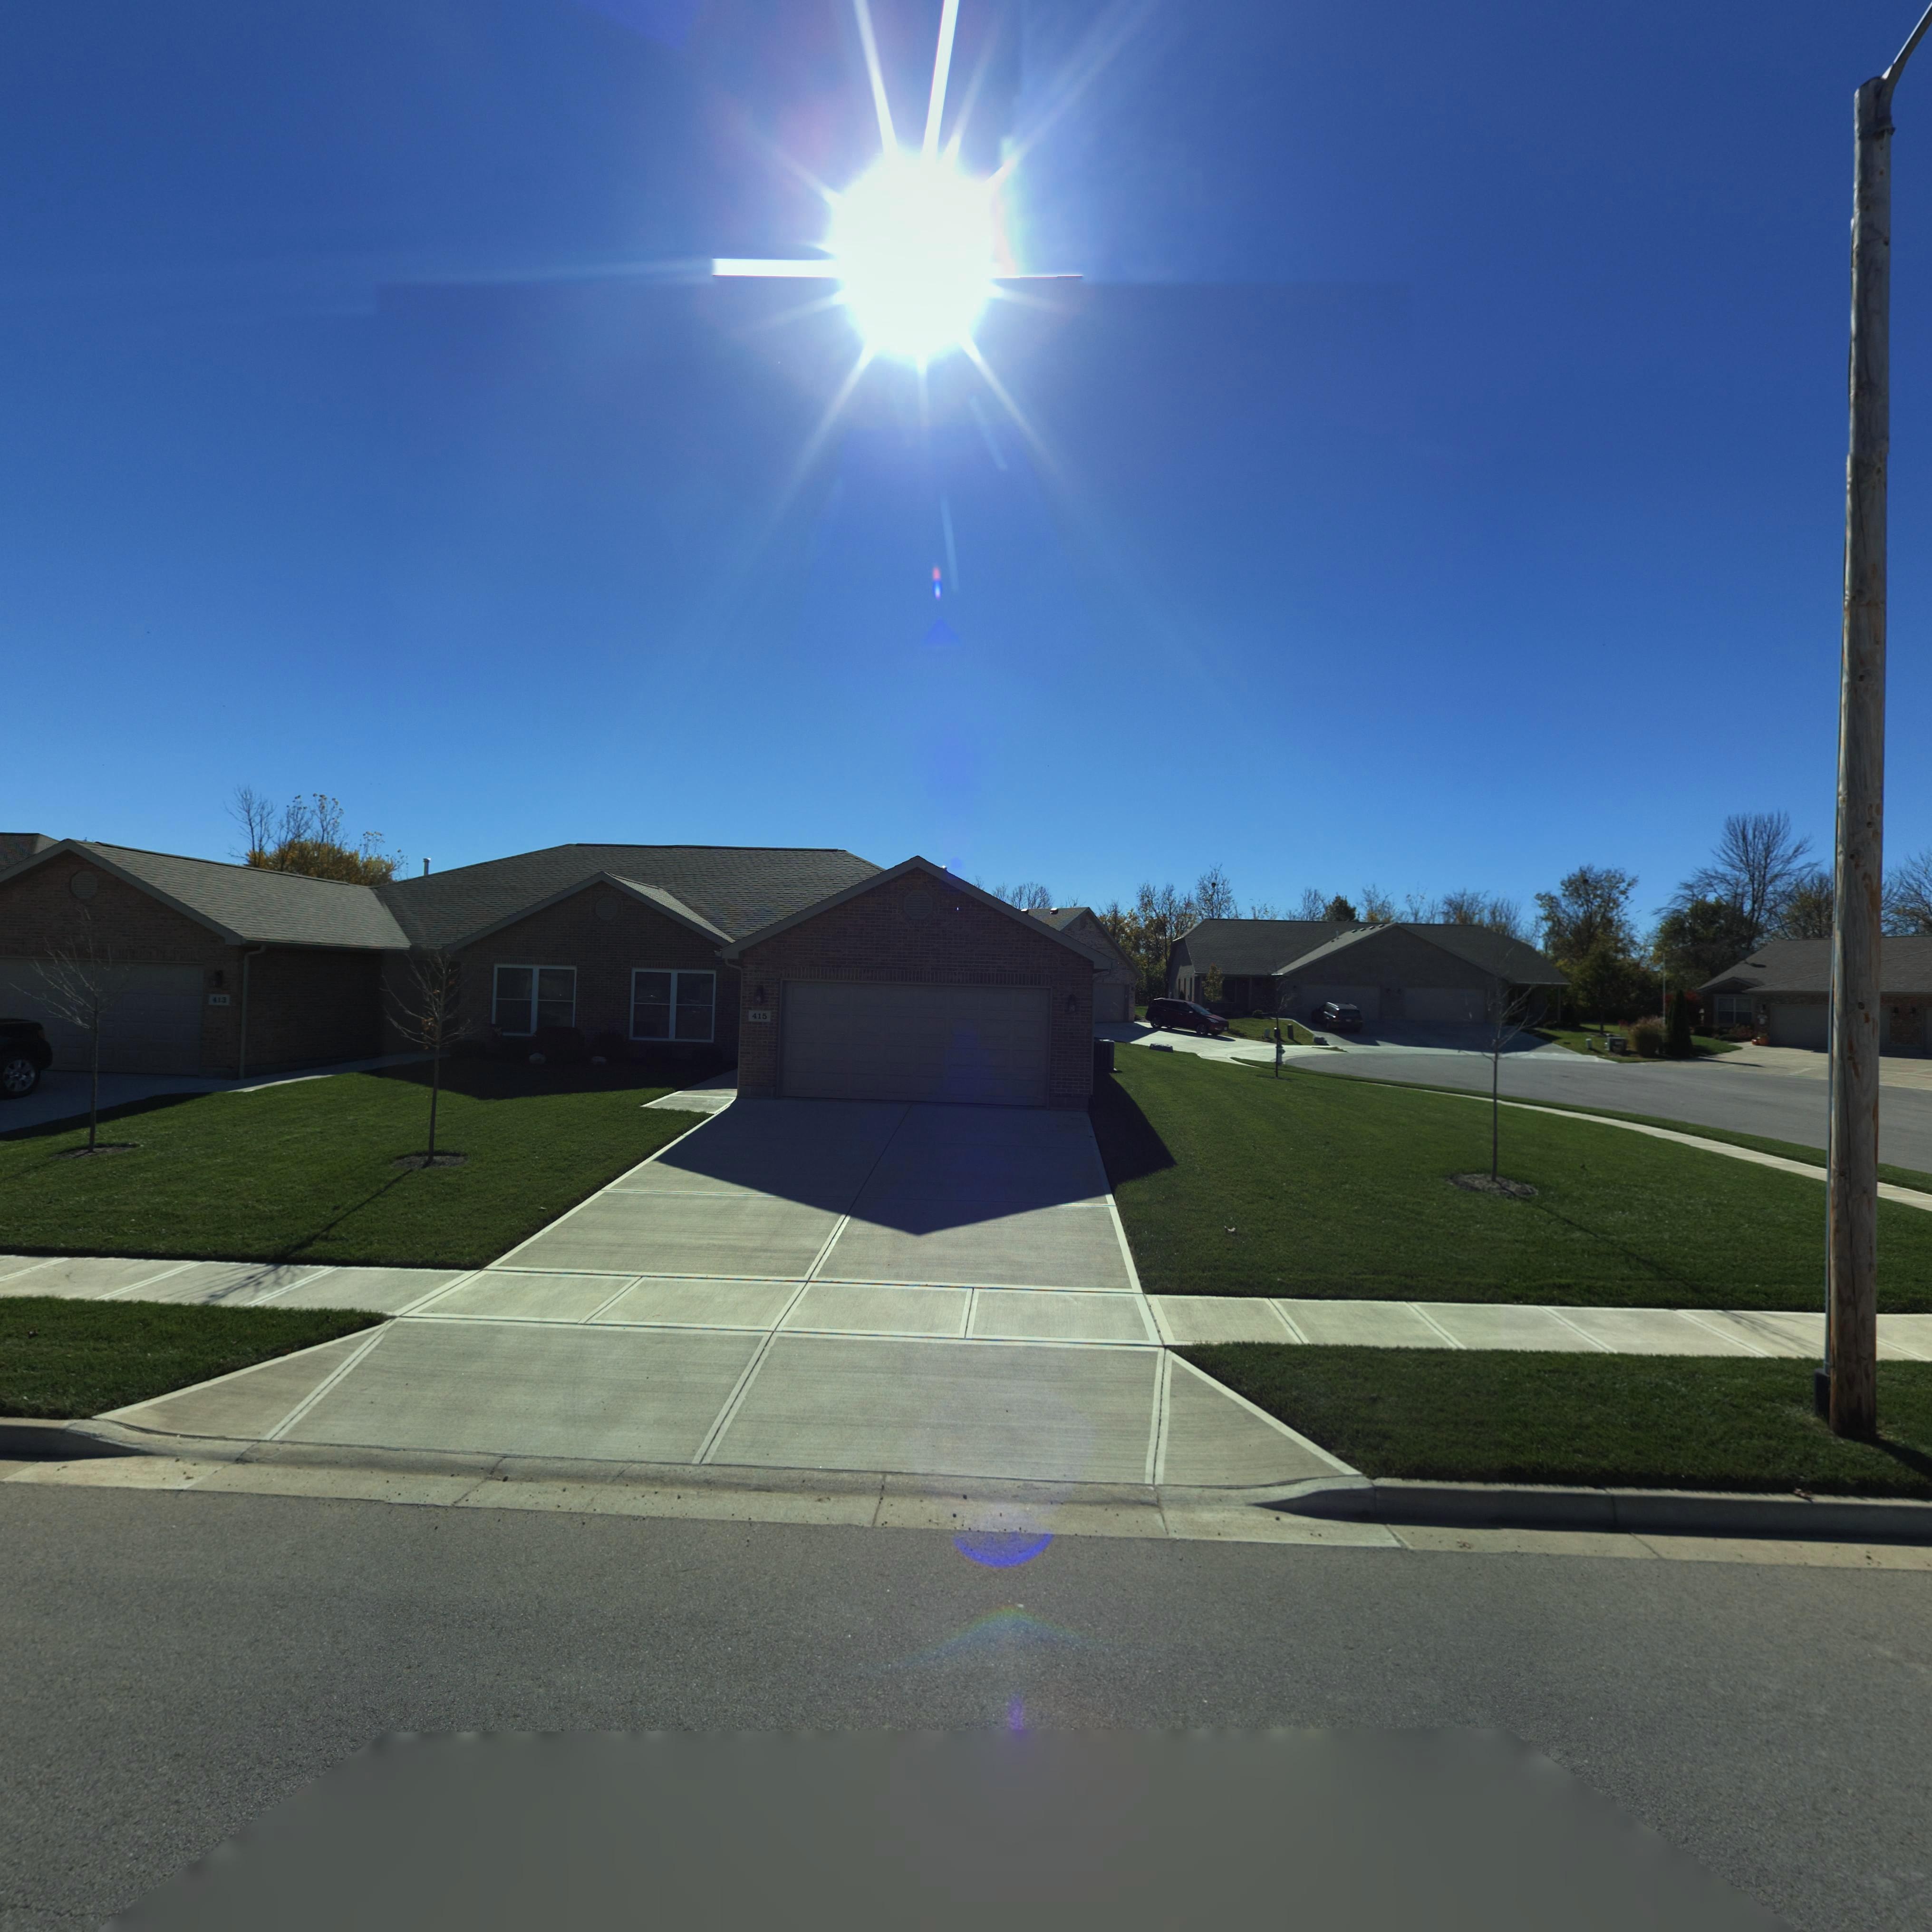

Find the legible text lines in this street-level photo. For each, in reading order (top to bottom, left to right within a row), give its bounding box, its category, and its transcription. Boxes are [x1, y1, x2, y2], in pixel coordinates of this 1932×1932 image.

[211, 995, 228, 1005] StreetNumber: 413
[750, 1011, 769, 1021] StreetNumber: 415